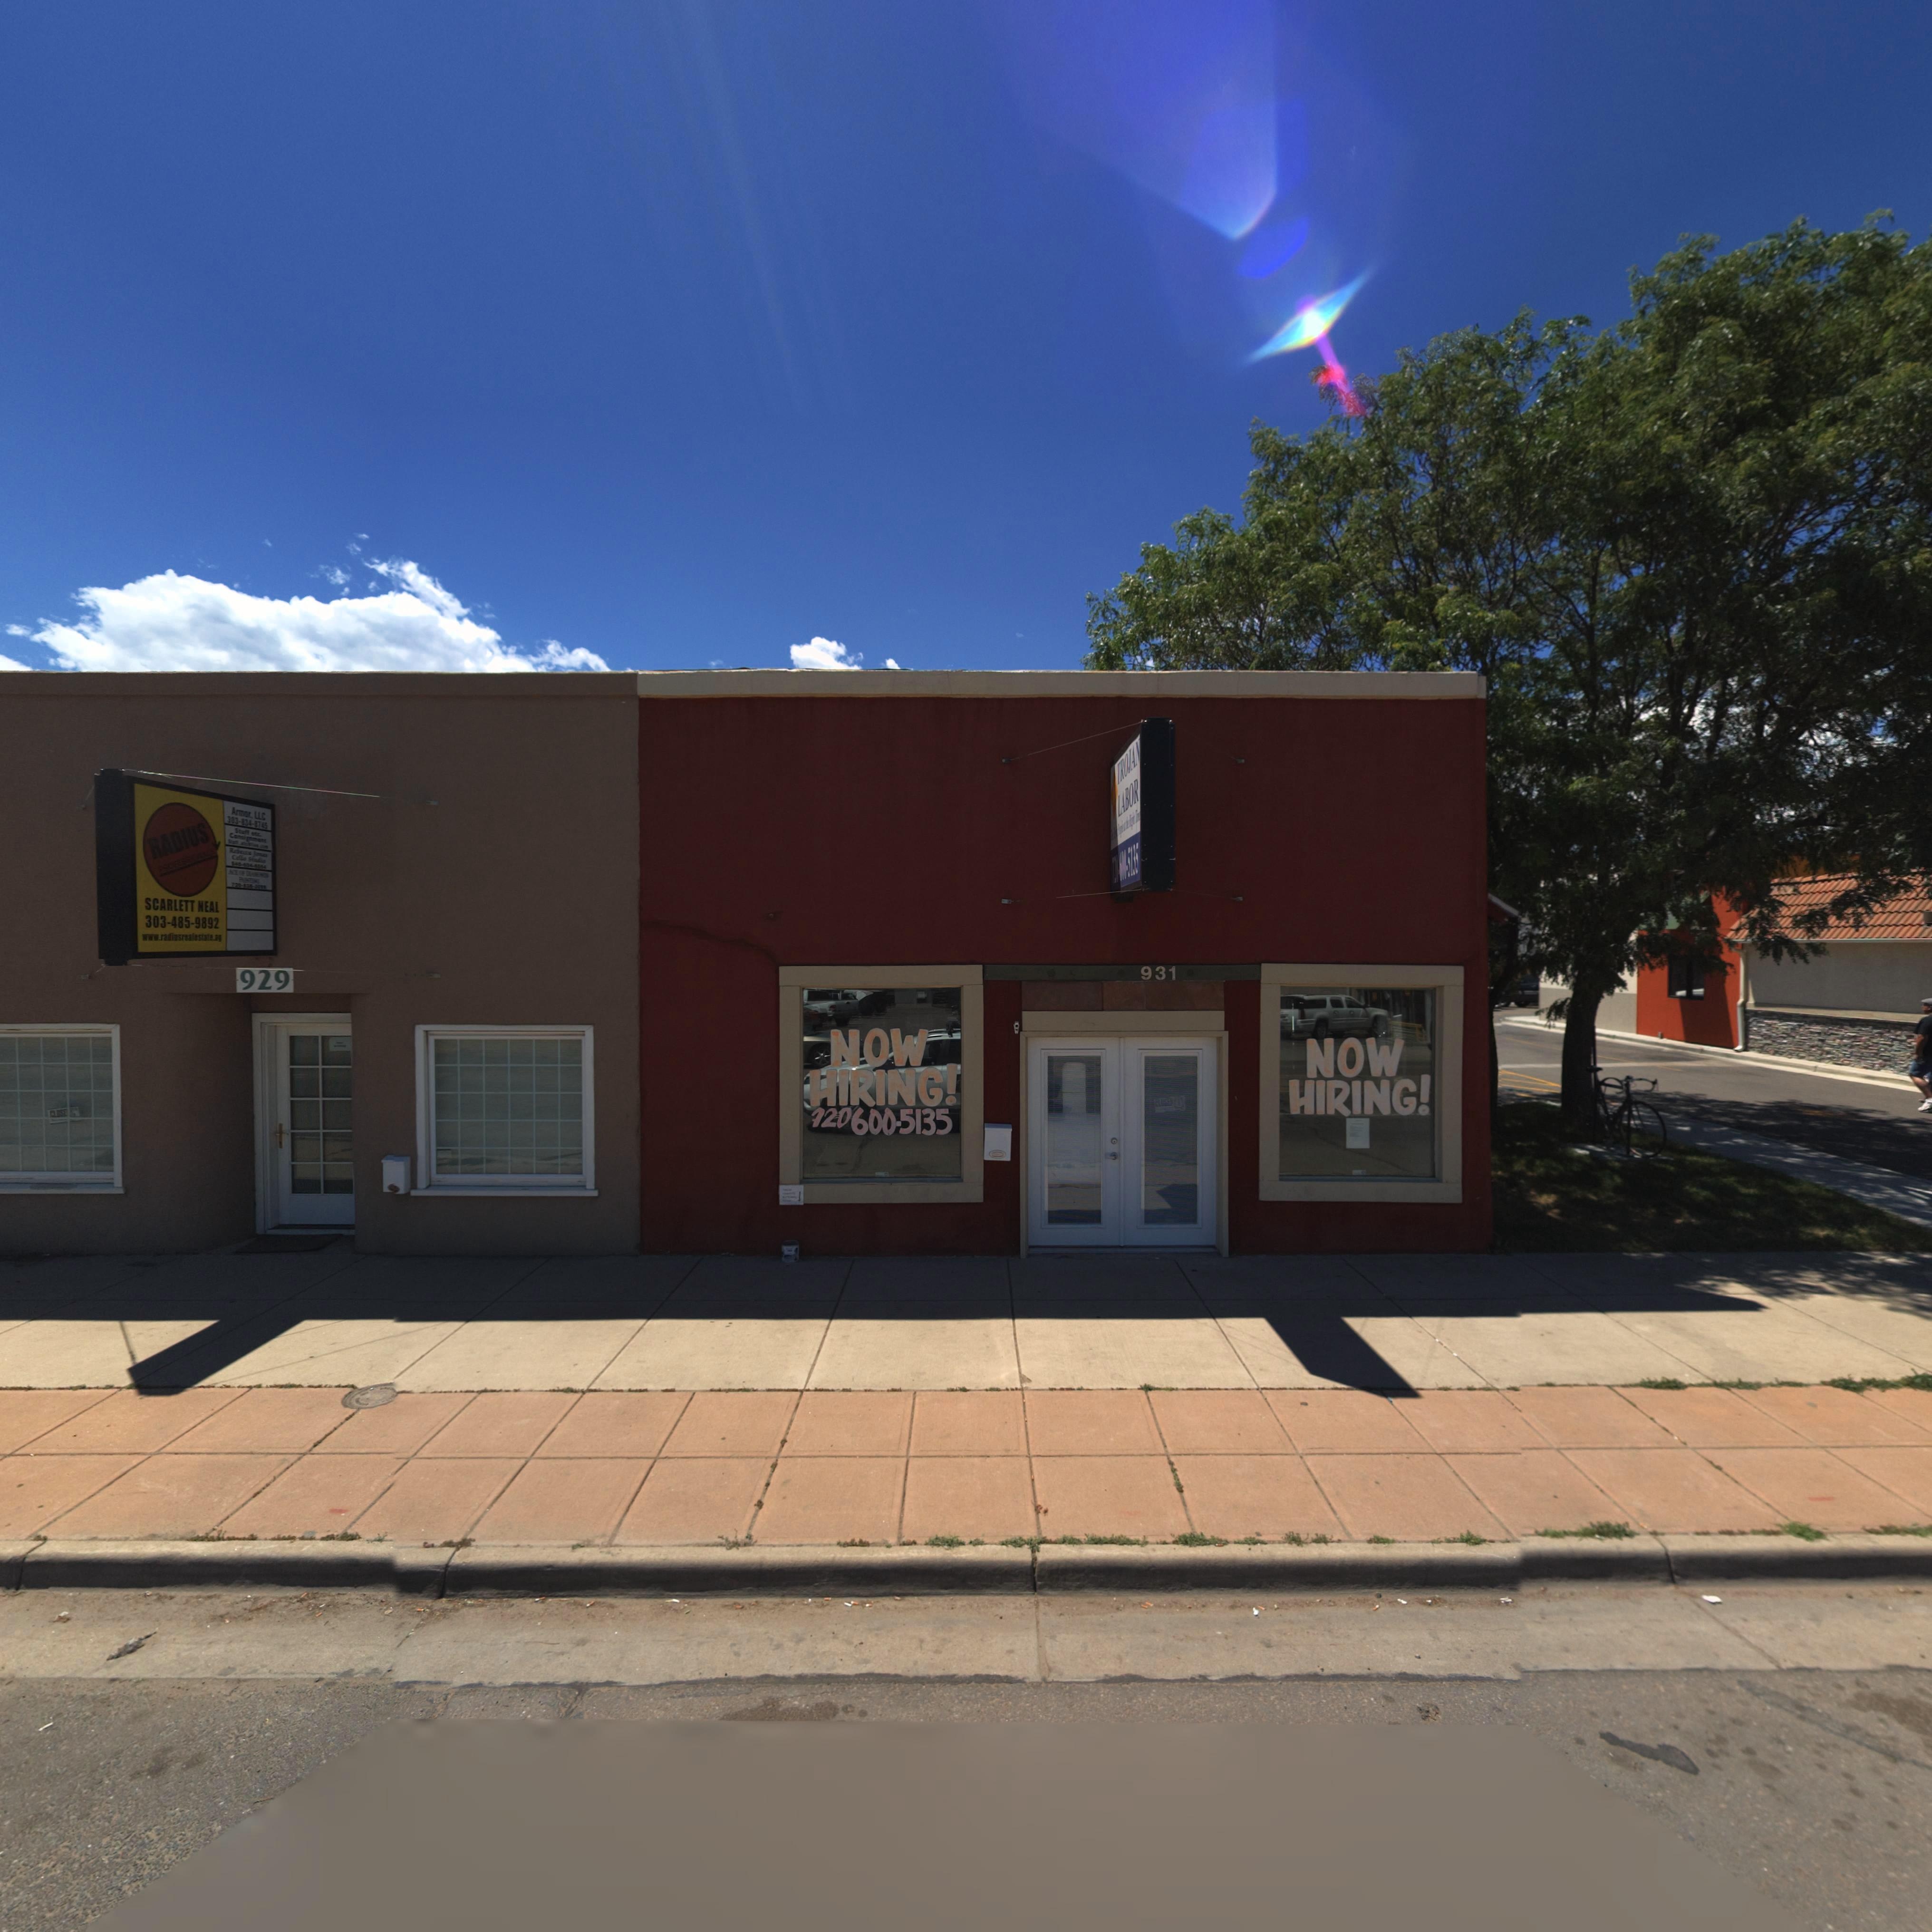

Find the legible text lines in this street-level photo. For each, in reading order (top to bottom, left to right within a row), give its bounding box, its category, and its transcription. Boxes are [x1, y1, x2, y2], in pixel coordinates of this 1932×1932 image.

[1116, 737, 1140, 785] BusinessName: TROJAN
[1118, 778, 1139, 818] BusinessName: LABOR
[231, 806, 266, 821] BusinessName: Armor, LLC
[146, 822, 209, 860] BusinessName: RADIUS
[229, 832, 267, 843] BusinessName: Consignment
[234, 827, 261, 837] BusinessName: Staff etc.
[231, 854, 266, 863] BusinessName: Cello Studio
[240, 969, 290, 990] StreetNumber: 929
[1140, 965, 1176, 980] StreetNumber: 931